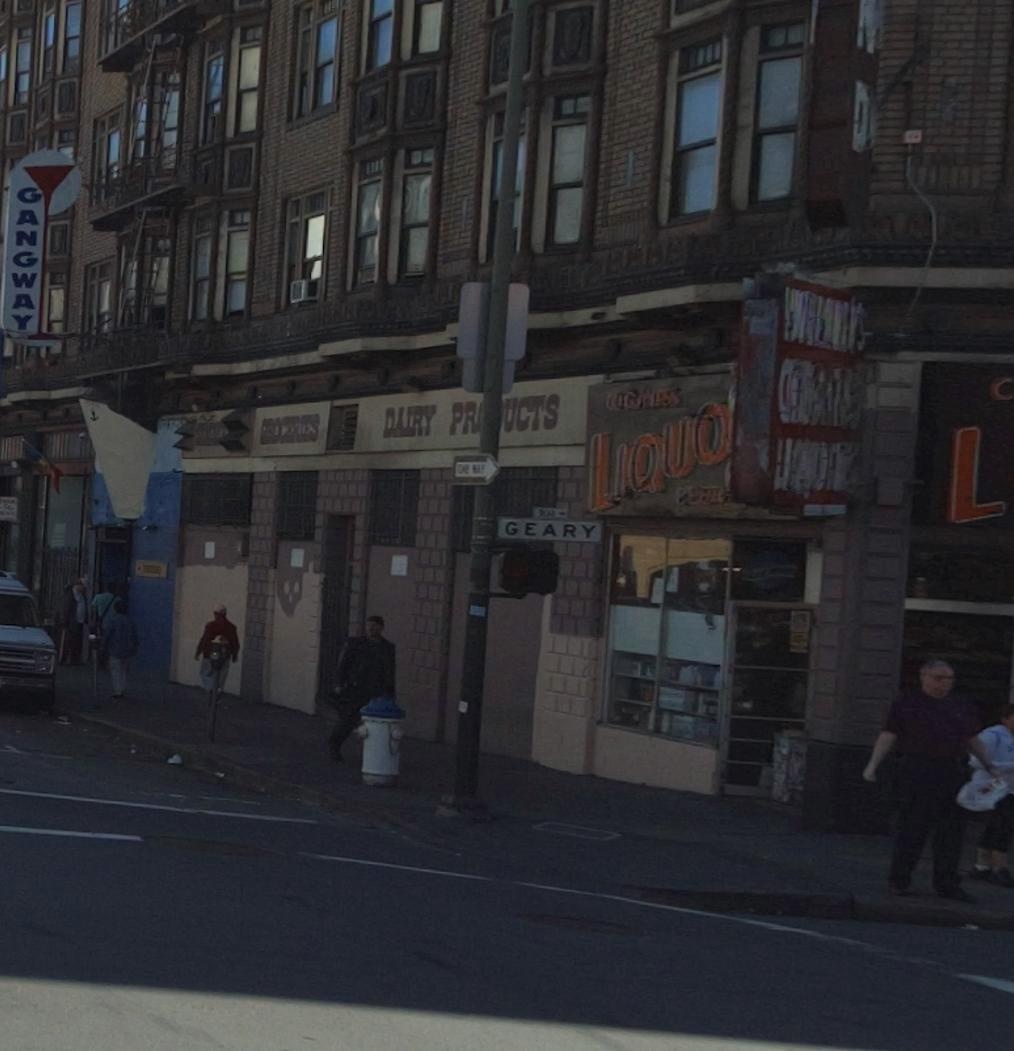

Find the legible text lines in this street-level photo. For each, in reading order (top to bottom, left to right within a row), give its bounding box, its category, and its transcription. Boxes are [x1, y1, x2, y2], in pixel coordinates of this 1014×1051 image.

[9, 184, 45, 333] BusinessName: GANGWAY
[300, 411, 323, 445] None: ES
[379, 390, 563, 443] None: DAIRY PR**UCTS
[589, 397, 729, 516] None: LIQUO
[949, 425, 1008, 528] None: L
[535, 506, 569, 520] StreetNumberRange: *00->
[503, 519, 601, 541] StreetName: GEARY